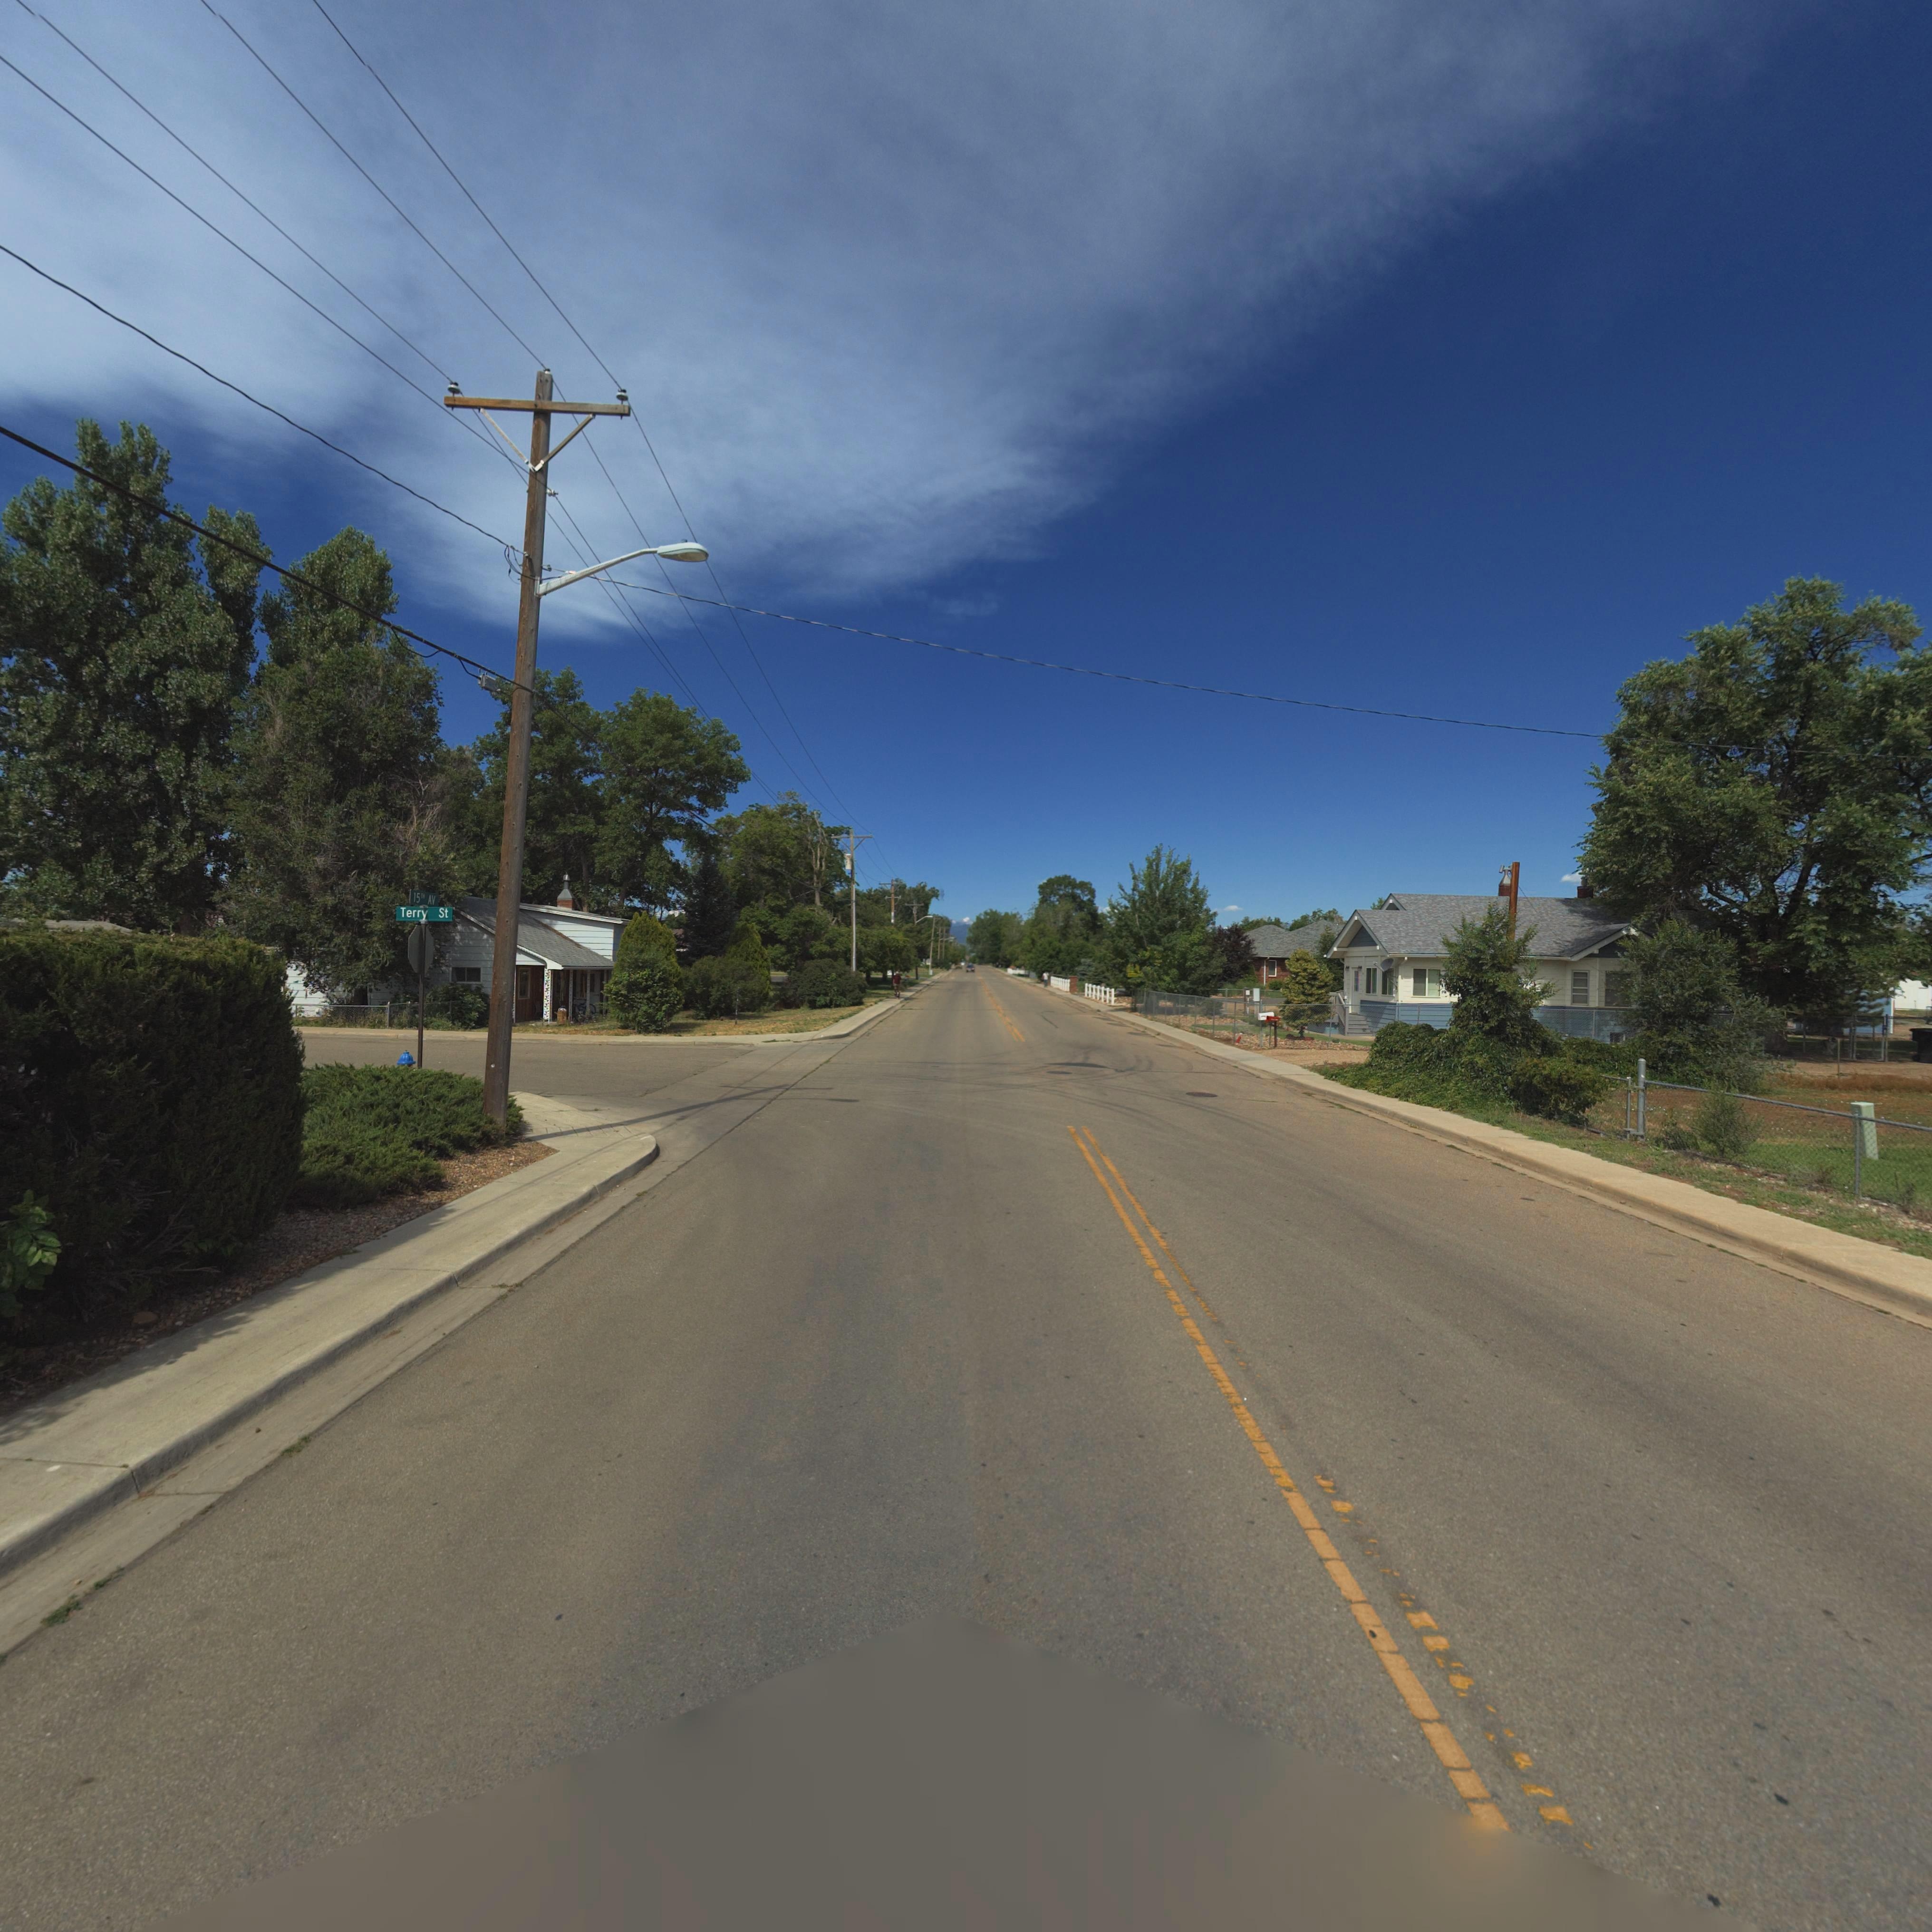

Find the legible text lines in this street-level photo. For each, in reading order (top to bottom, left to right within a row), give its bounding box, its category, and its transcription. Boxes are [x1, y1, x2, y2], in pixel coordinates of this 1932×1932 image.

[413, 891, 436, 906] StreetName: 15** AV
[399, 907, 449, 920] StreetName: Terry St
[539, 970, 543, 993] StreetNumber: **1